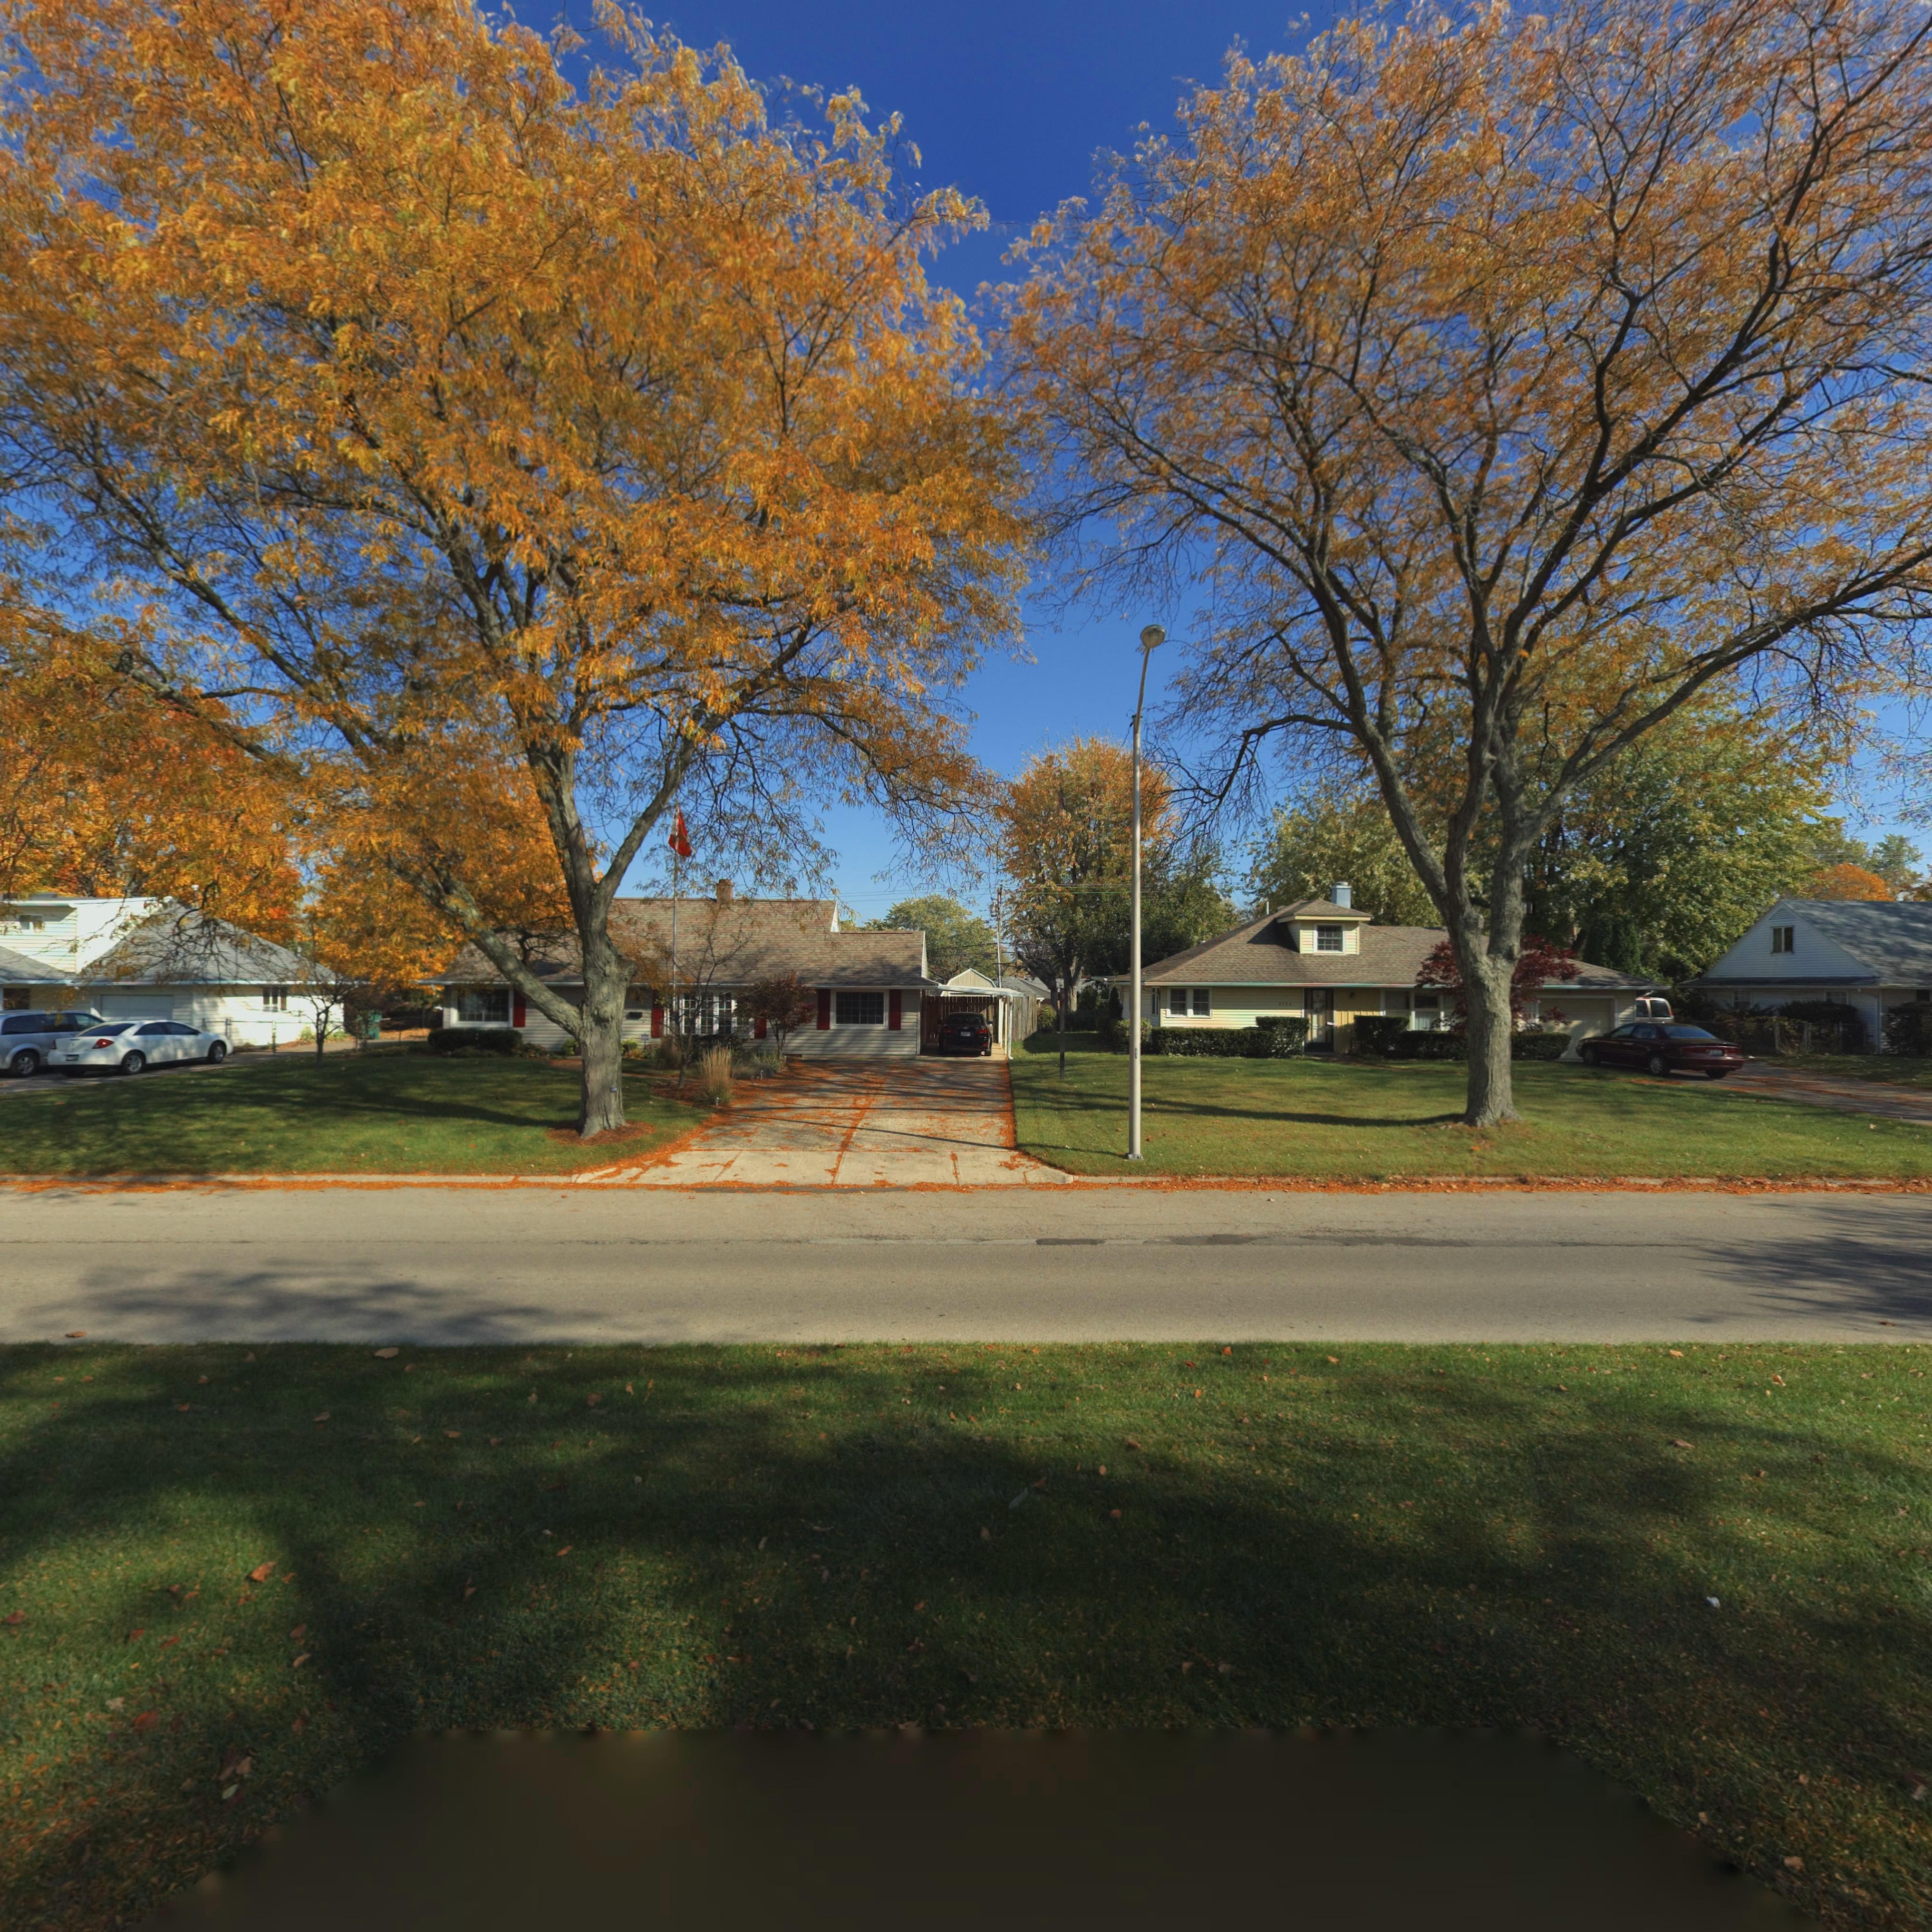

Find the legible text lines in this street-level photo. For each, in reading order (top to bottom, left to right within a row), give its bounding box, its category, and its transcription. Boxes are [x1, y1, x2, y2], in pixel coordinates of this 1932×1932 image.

[1278, 1001, 1293, 1006] StreetNumber: 3736